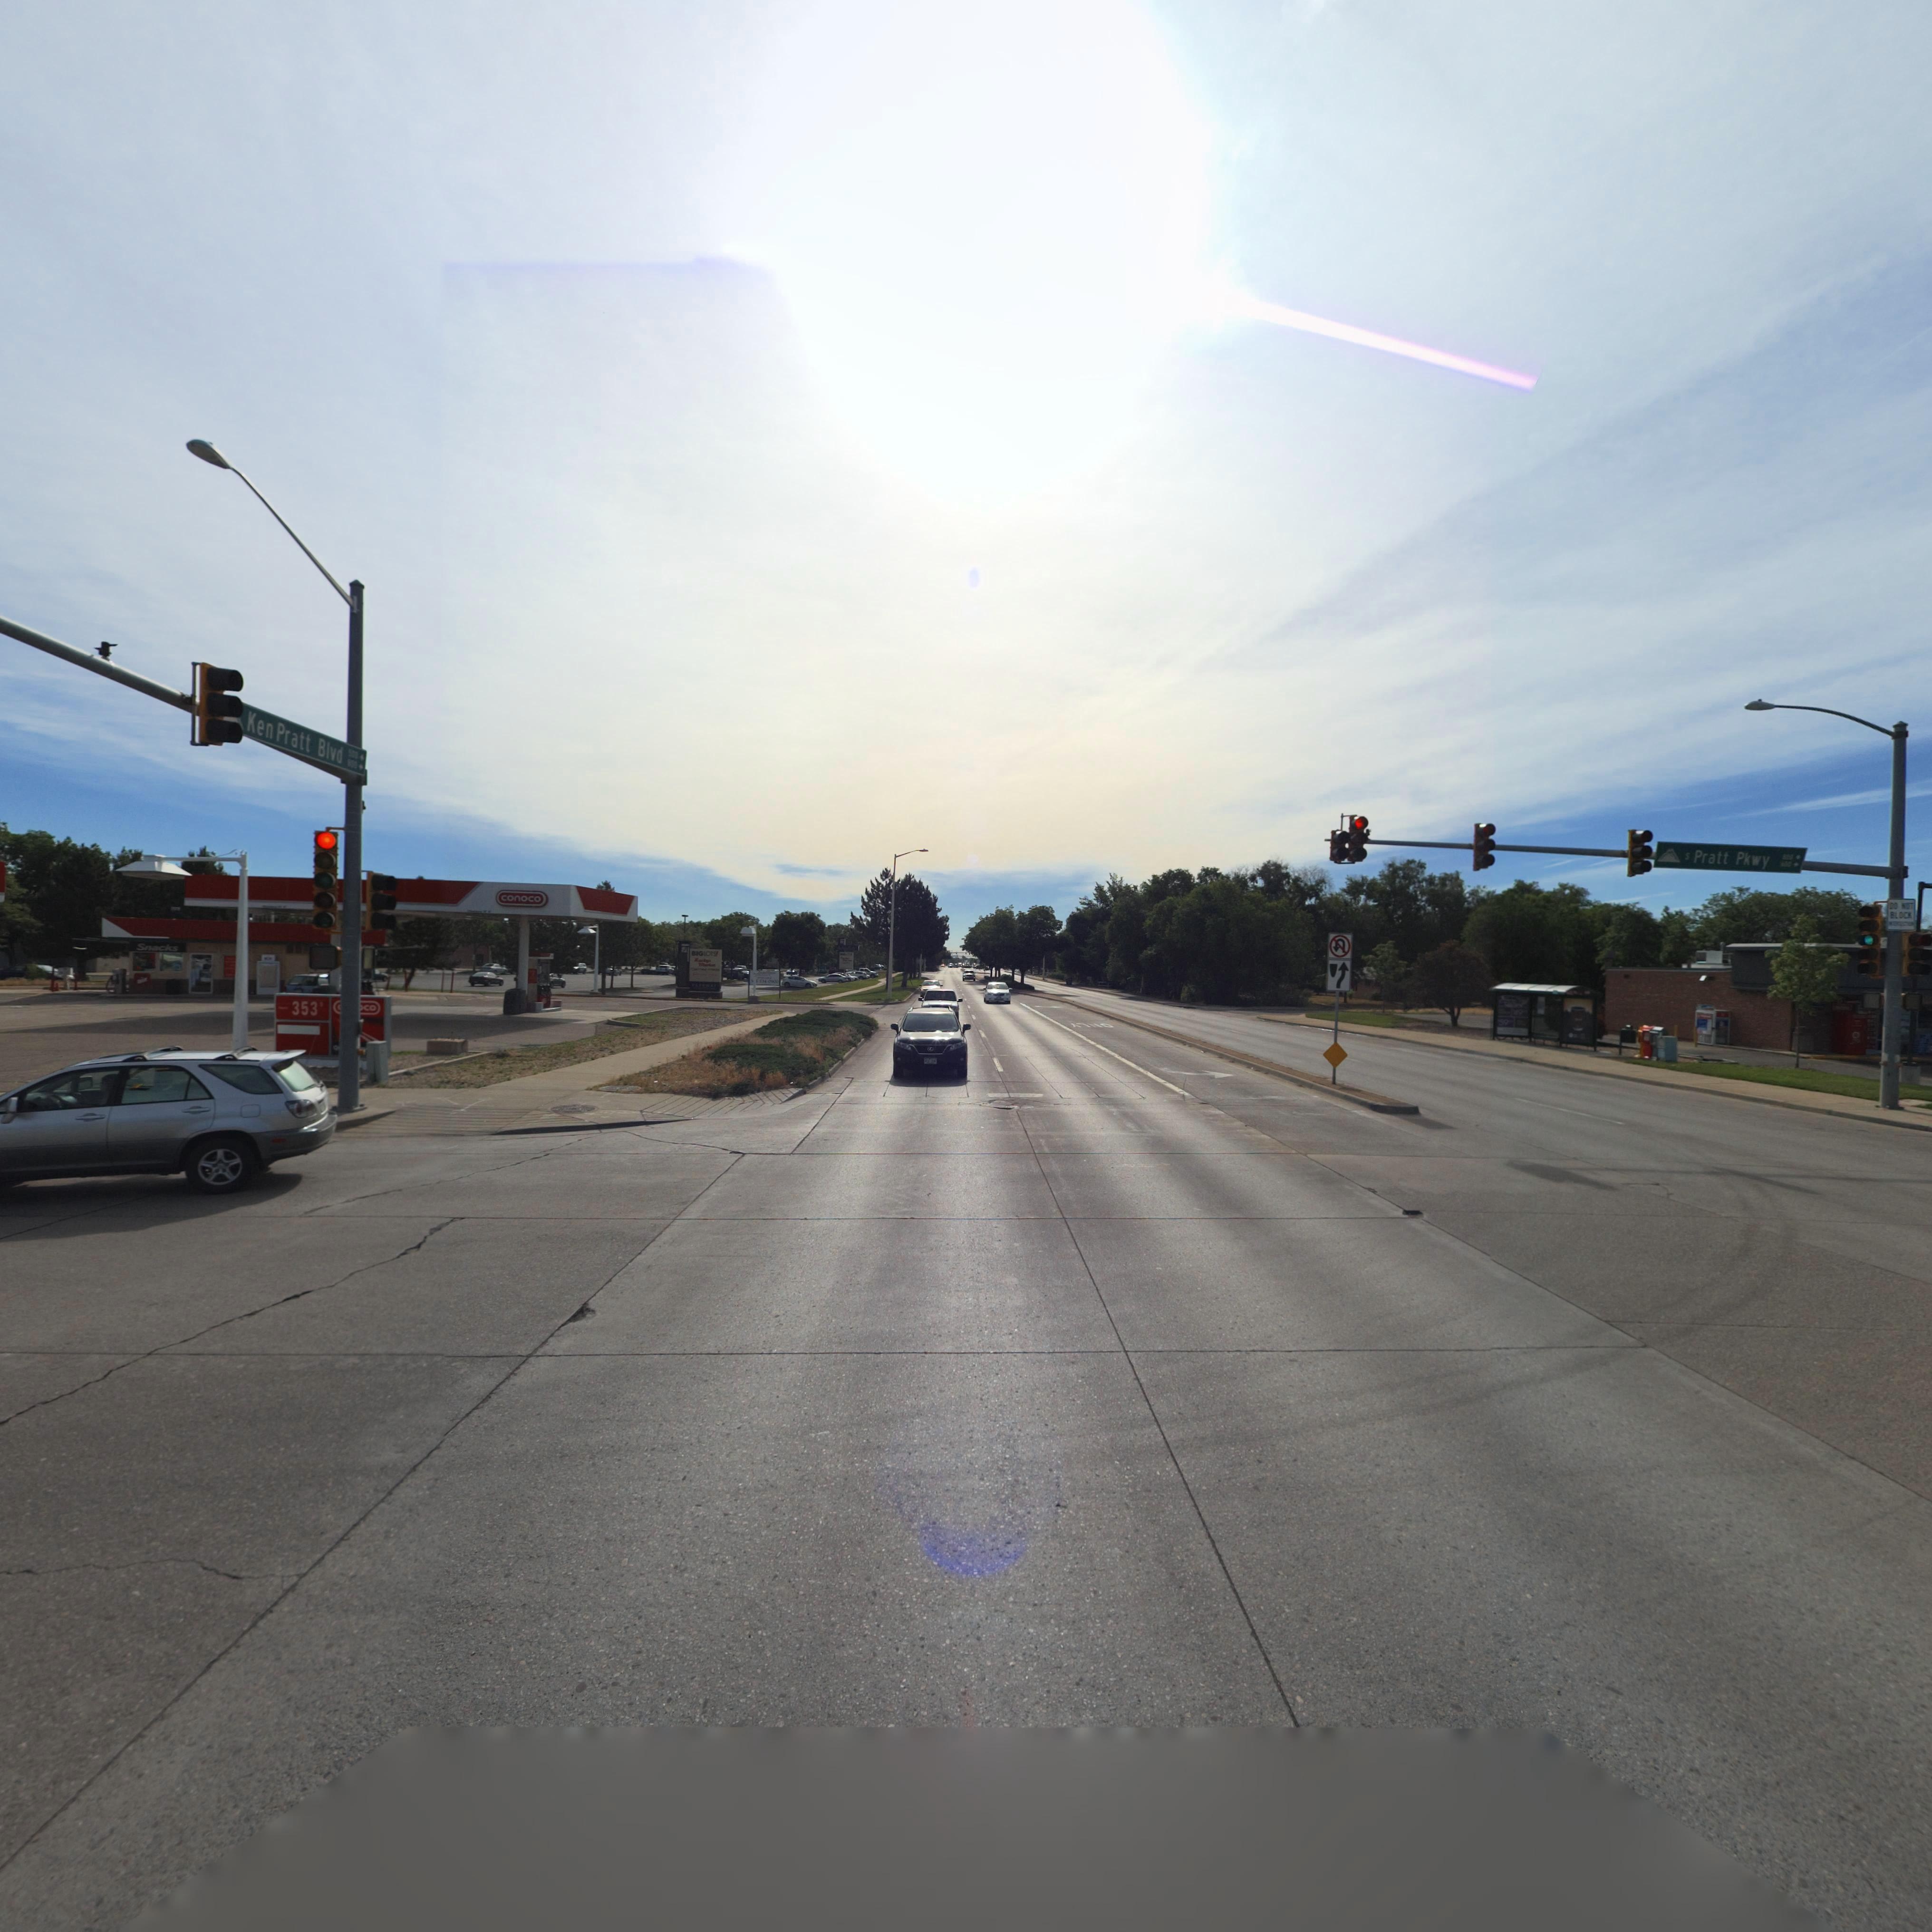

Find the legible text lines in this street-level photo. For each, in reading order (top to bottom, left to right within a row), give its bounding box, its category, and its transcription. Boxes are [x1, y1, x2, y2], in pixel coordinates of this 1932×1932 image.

[246, 709, 344, 764] StreetName: Ken Pratt Blvd
[347, 748, 358, 760] StreetNumberRange: *00
[347, 758, 364, 771] StreetNumberRange: *00->
[1683, 850, 1771, 870] StreetName: S Pratt Pkwy
[1781, 853, 1794, 860] StreetNumberRange: *00
[1779, 860, 1799, 868] None: *00->
[501, 895, 541, 902] BusinessName: conoco
[691, 950, 719, 956] BusinessName: BIGLOTS!
[694, 957, 712, 964] BusinessName: L******
[698, 962, 715, 967] BusinessName: M*****
[337, 1003, 376, 1012] BusinessName: ****co